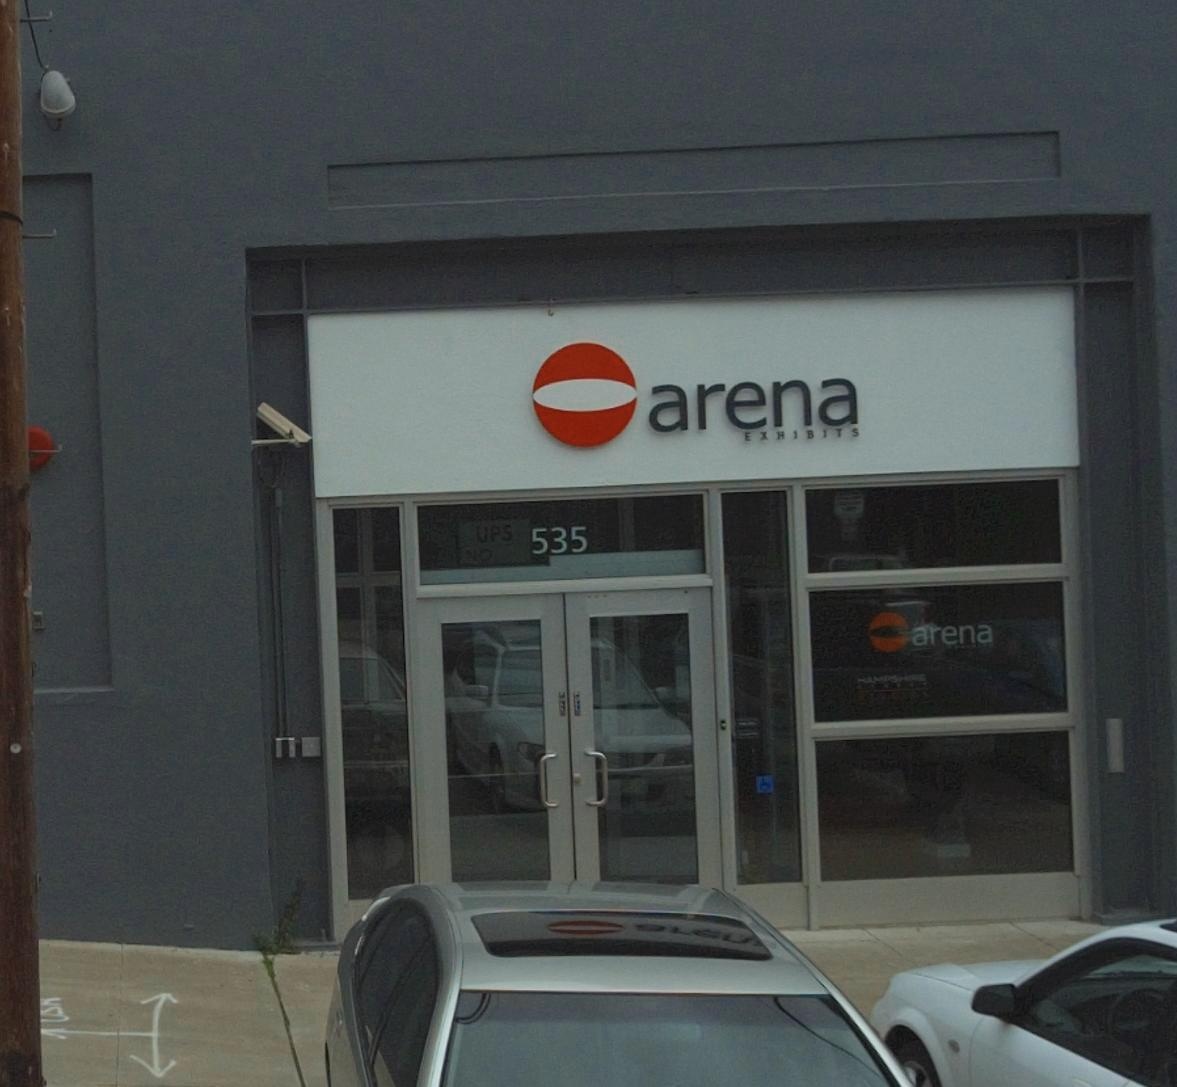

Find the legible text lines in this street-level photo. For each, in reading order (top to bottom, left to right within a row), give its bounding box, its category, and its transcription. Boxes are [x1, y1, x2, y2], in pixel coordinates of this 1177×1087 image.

[647, 375, 860, 436] BusinessName: arena
[743, 426, 861, 441] BusinessName: EXHIBITS
[474, 523, 514, 545] None: UPS
[530, 525, 591, 556] StreetNumber: 535
[911, 623, 994, 647] BusinessName: arena